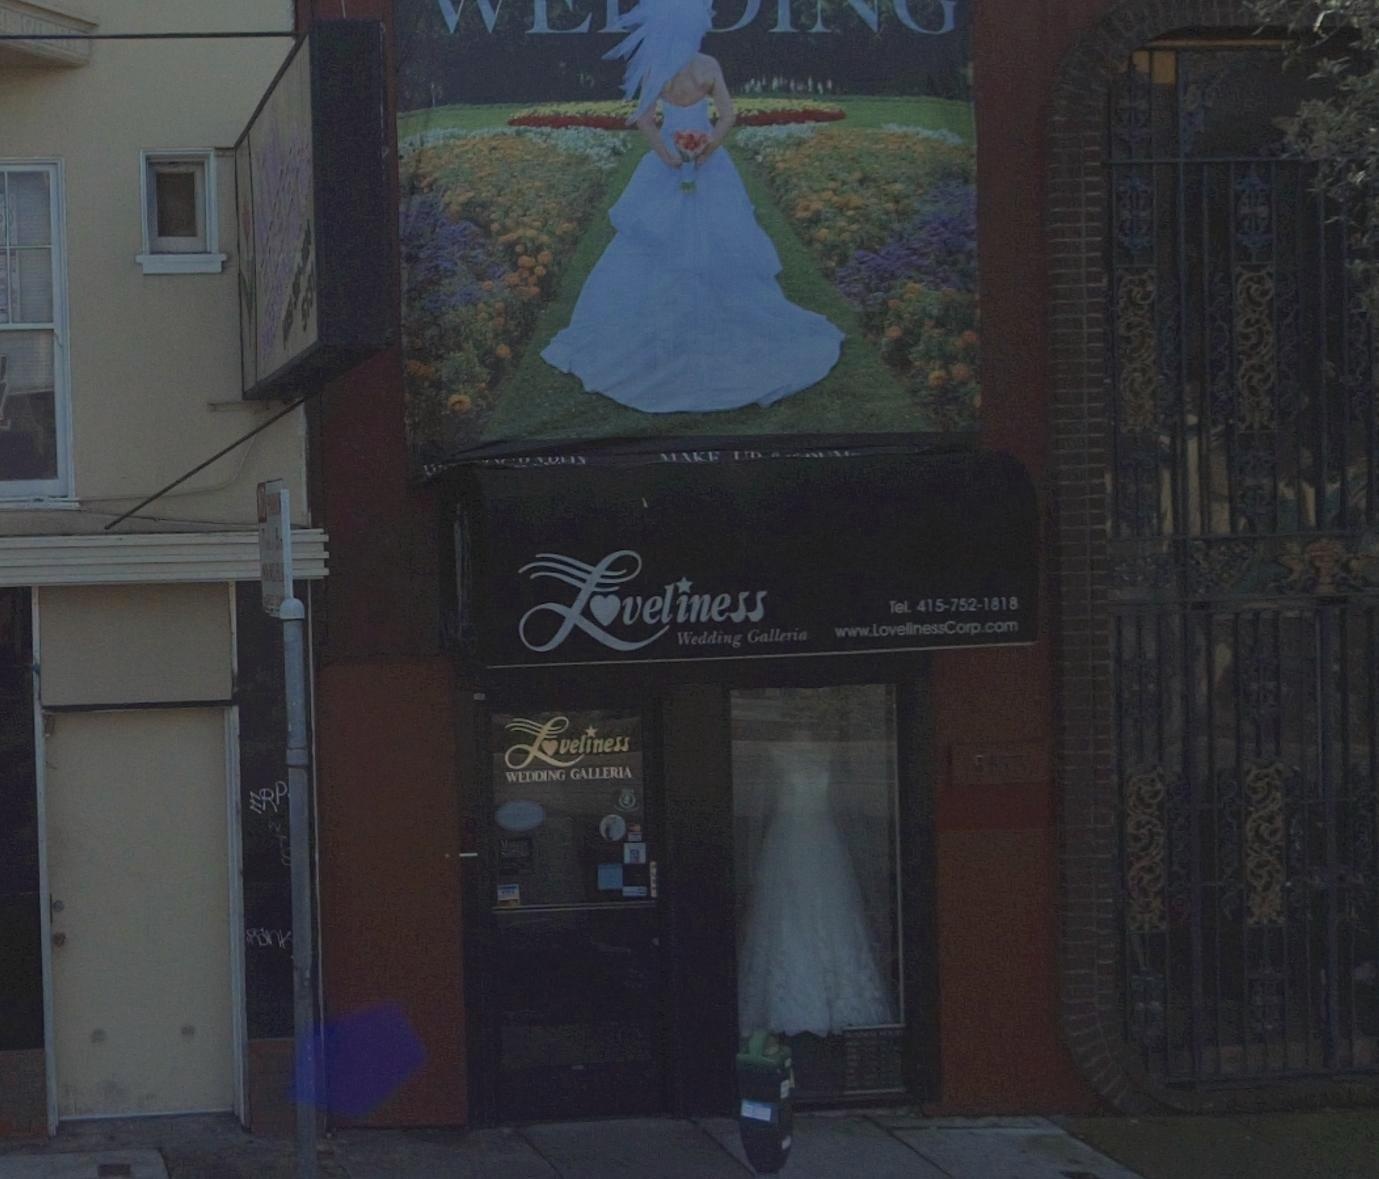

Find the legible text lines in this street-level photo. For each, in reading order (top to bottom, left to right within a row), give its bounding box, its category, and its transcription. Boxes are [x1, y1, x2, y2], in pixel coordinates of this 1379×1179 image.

[515, 547, 773, 654] BusinessName: Loveliness
[887, 594, 1021, 615] None: Tel. 415-752-1818
[671, 623, 811, 650] None: Wedding Galleria
[831, 615, 1022, 640] None: www.LovelinessCorp.com
[500, 715, 633, 772] BusinessName: Loveliness
[502, 763, 635, 786] None: WEDDING GALLERIA
[970, 750, 1031, 781] StreetNumber: 5453
[245, 778, 289, 817] None: ERP